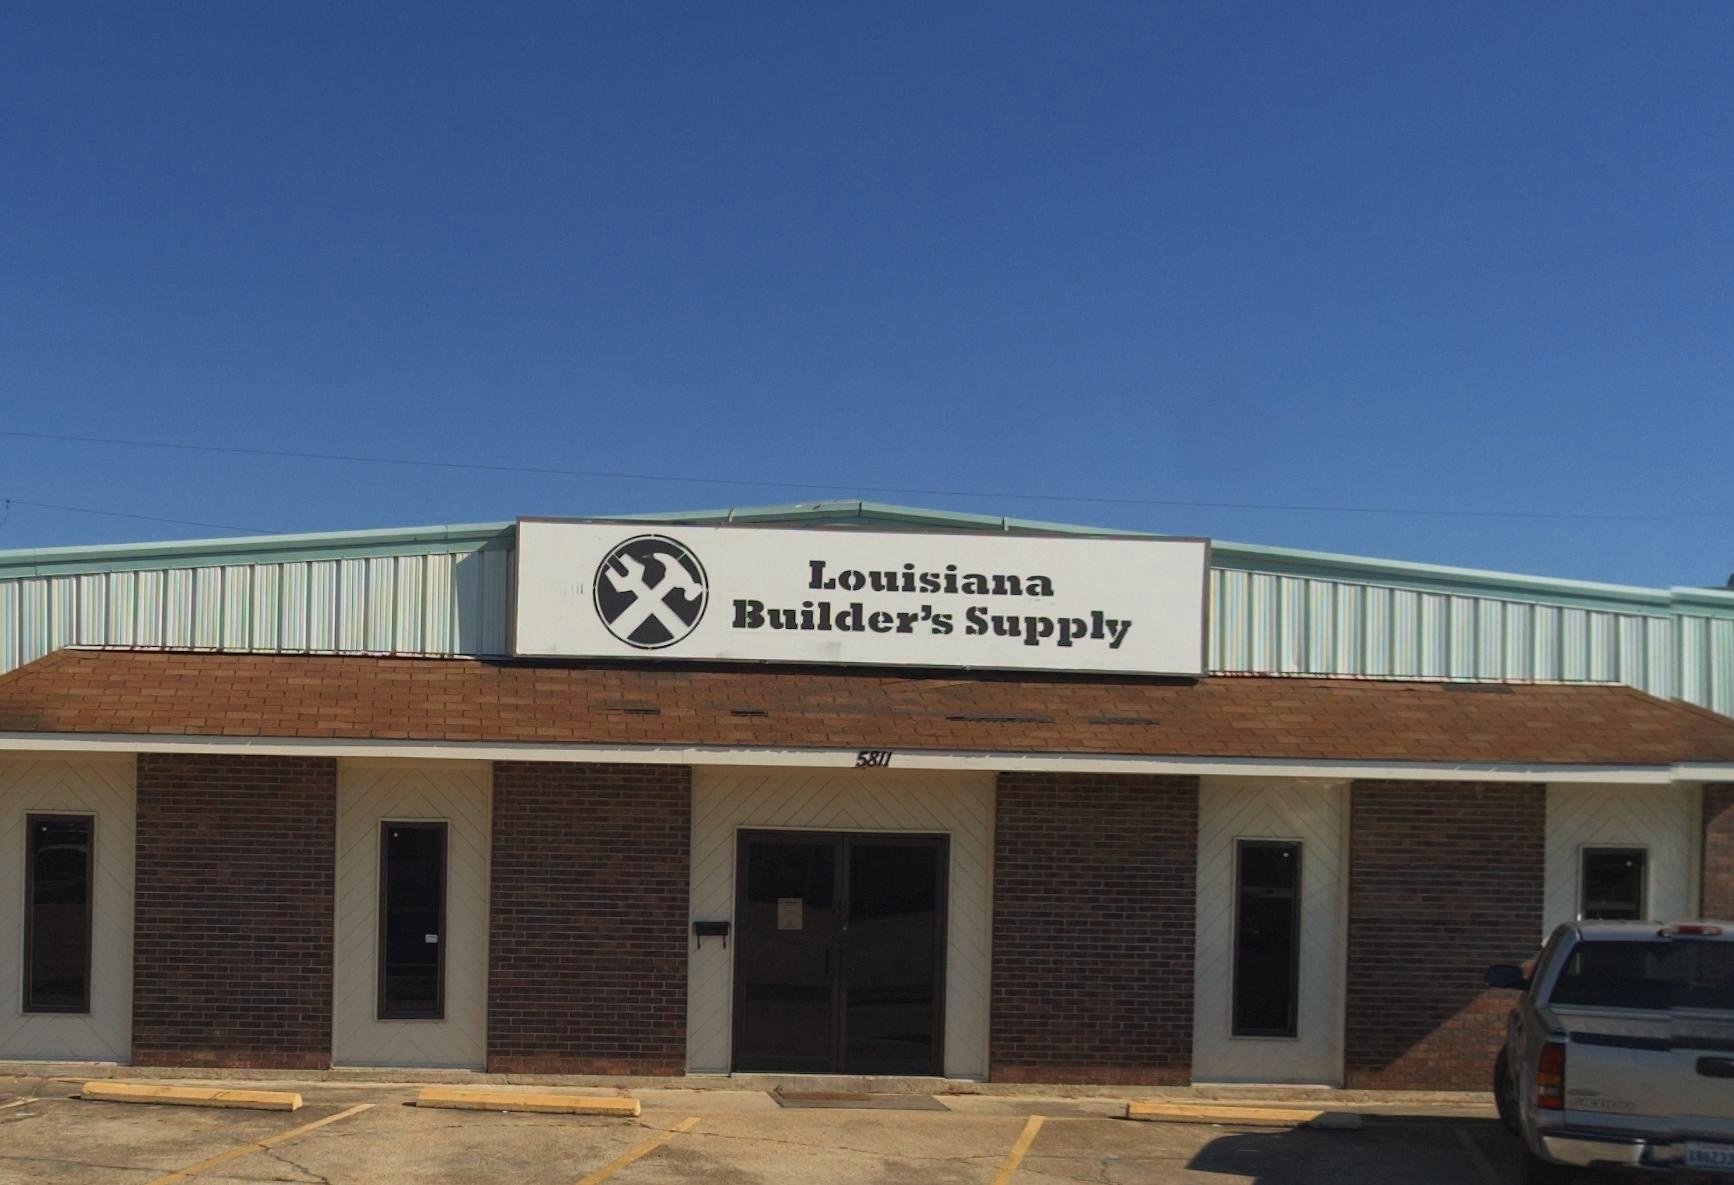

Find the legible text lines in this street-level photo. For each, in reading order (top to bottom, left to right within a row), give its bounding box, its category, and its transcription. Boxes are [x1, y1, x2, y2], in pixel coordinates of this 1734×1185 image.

[805, 556, 1058, 599] BusinessName: Louisiana
[729, 595, 1136, 653] BusinessName: Builder's Supply
[851, 747, 897, 771] StreetNumber: 5811